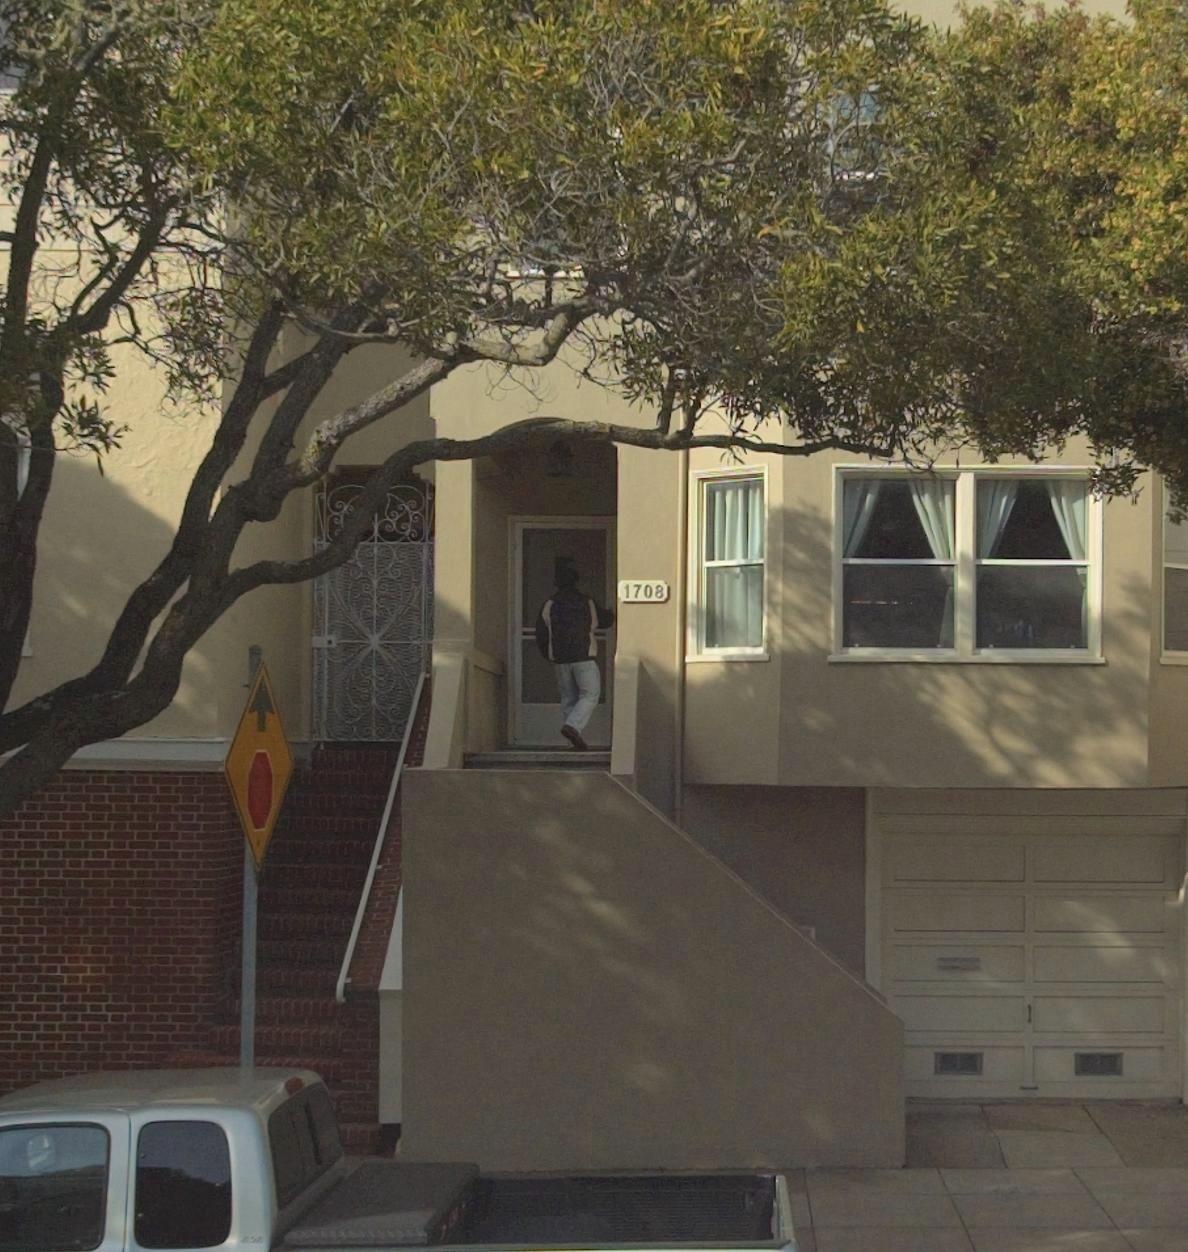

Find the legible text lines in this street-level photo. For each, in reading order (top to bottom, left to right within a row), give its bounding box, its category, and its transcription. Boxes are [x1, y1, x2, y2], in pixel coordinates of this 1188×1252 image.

[623, 582, 665, 600] StreetNumber: 1708